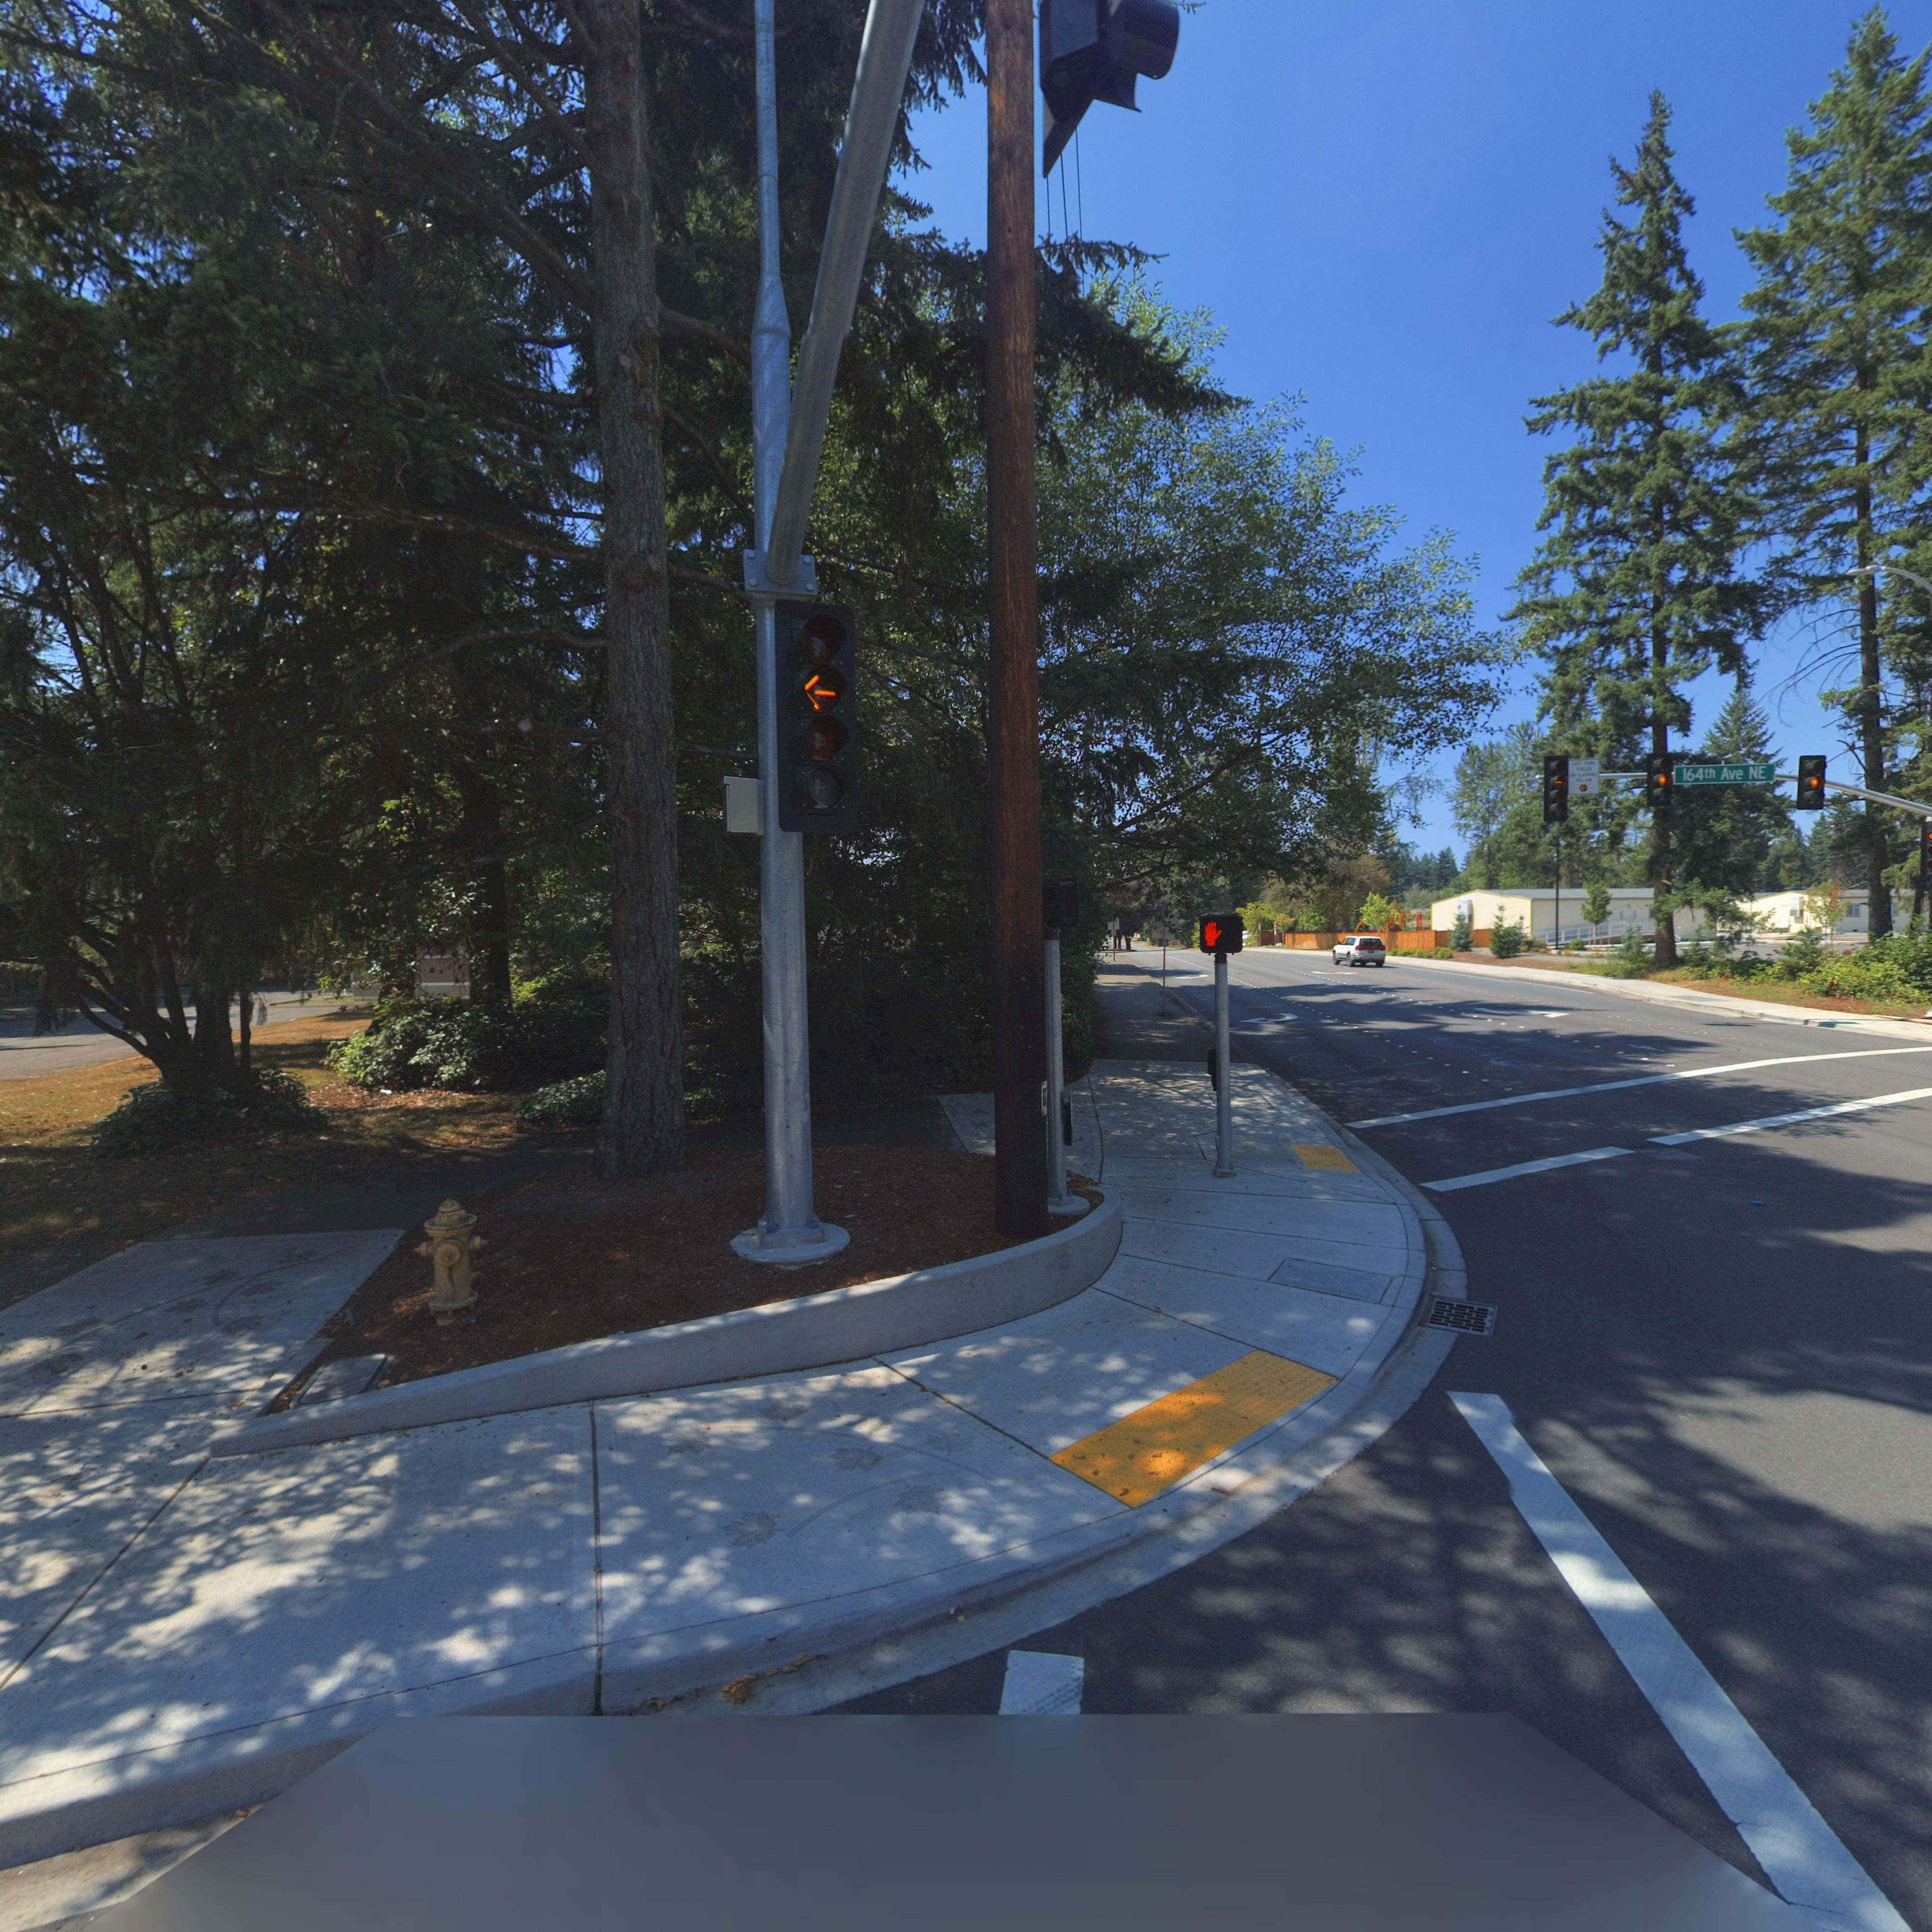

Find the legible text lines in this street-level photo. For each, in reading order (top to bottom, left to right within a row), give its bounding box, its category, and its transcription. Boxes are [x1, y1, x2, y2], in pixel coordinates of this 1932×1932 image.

[1681, 764, 1768, 781] StreetName: 164th Ave NE